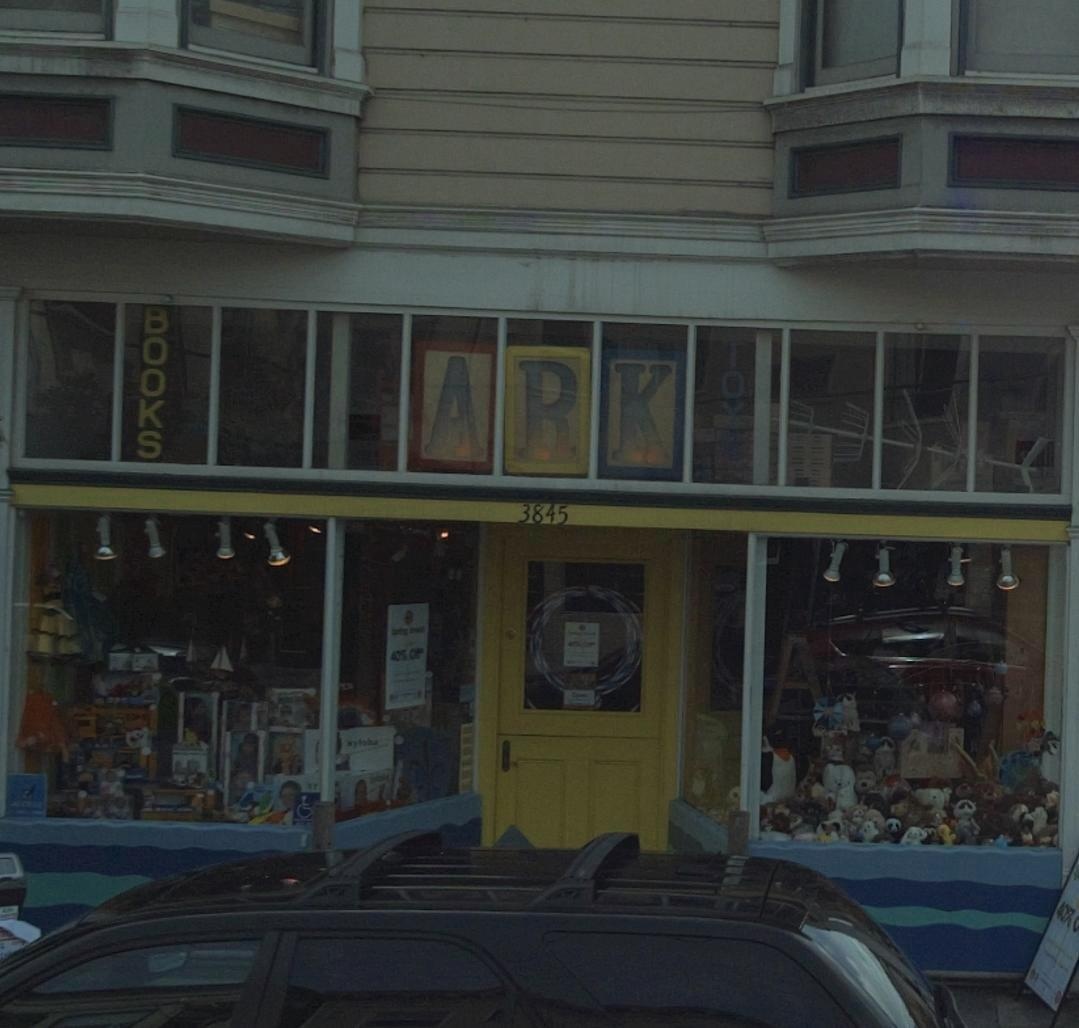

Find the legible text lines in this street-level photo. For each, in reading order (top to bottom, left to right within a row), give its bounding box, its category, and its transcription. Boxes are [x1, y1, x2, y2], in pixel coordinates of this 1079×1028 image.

[131, 301, 178, 462] None: BOOKS
[420, 349, 678, 470] BusinessName: A R K
[714, 337, 750, 469] None: TOYS
[515, 503, 570, 525] StreetNumber: 3845
[389, 646, 425, 664] None: 40% OFF
[1051, 897, 1077, 929] None: 40%